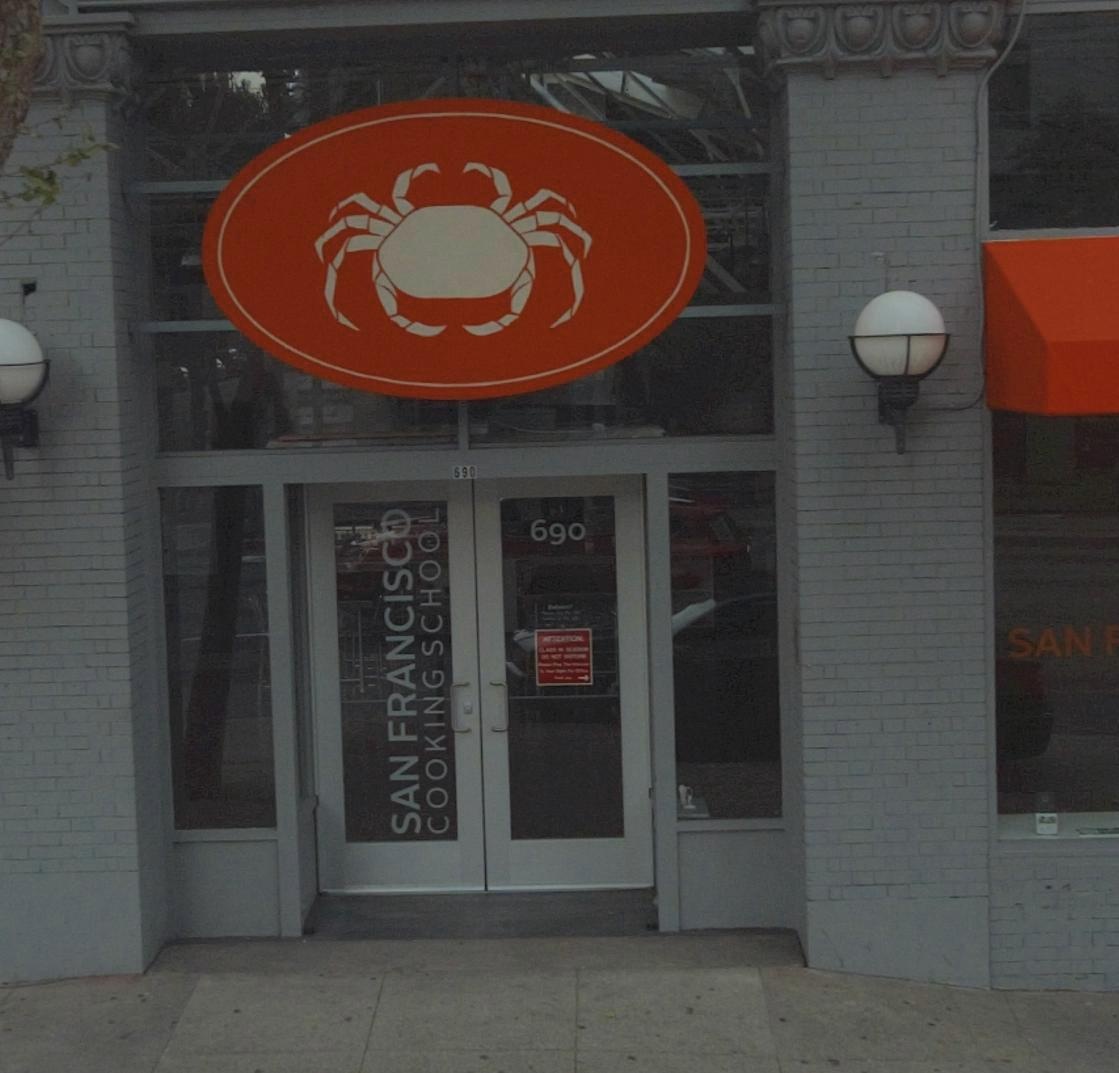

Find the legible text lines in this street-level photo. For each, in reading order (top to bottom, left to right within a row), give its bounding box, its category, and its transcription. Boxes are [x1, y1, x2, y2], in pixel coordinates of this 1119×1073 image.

[453, 465, 477, 479] StreetNumber: 690
[529, 517, 587, 546] StreetNumber: 690
[541, 635, 583, 643] None: ATTENTION
[1007, 624, 1092, 660] BusinessName: SAN
[379, 507, 421, 836] BusinessName: SAN FRANCISCO
[415, 506, 449, 835] BusinessName: COOKING SCHOOL